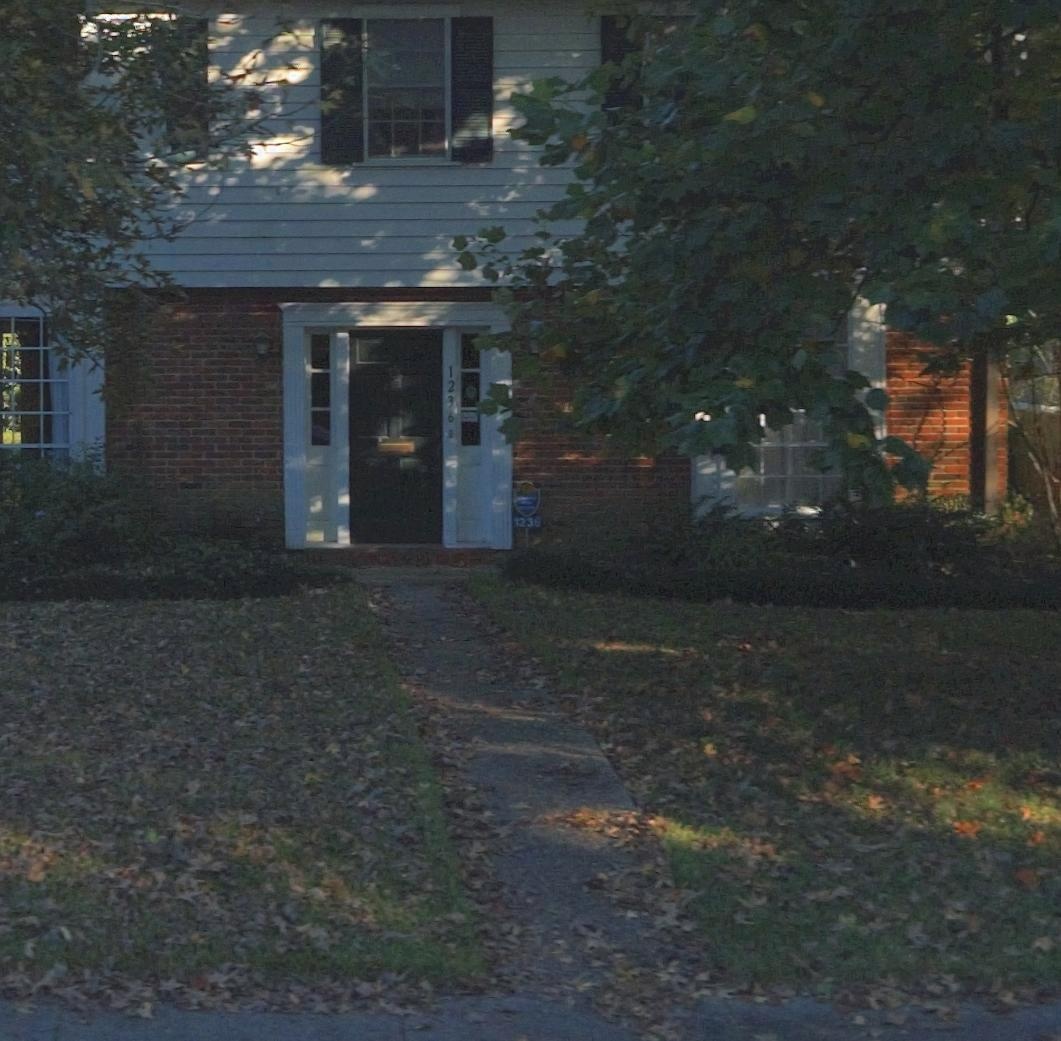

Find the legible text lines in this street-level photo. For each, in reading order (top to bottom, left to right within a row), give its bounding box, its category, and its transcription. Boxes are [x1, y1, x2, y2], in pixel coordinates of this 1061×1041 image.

[445, 363, 457, 425] StreetNumber: 1236
[513, 515, 543, 530] StreetNumber: 1236